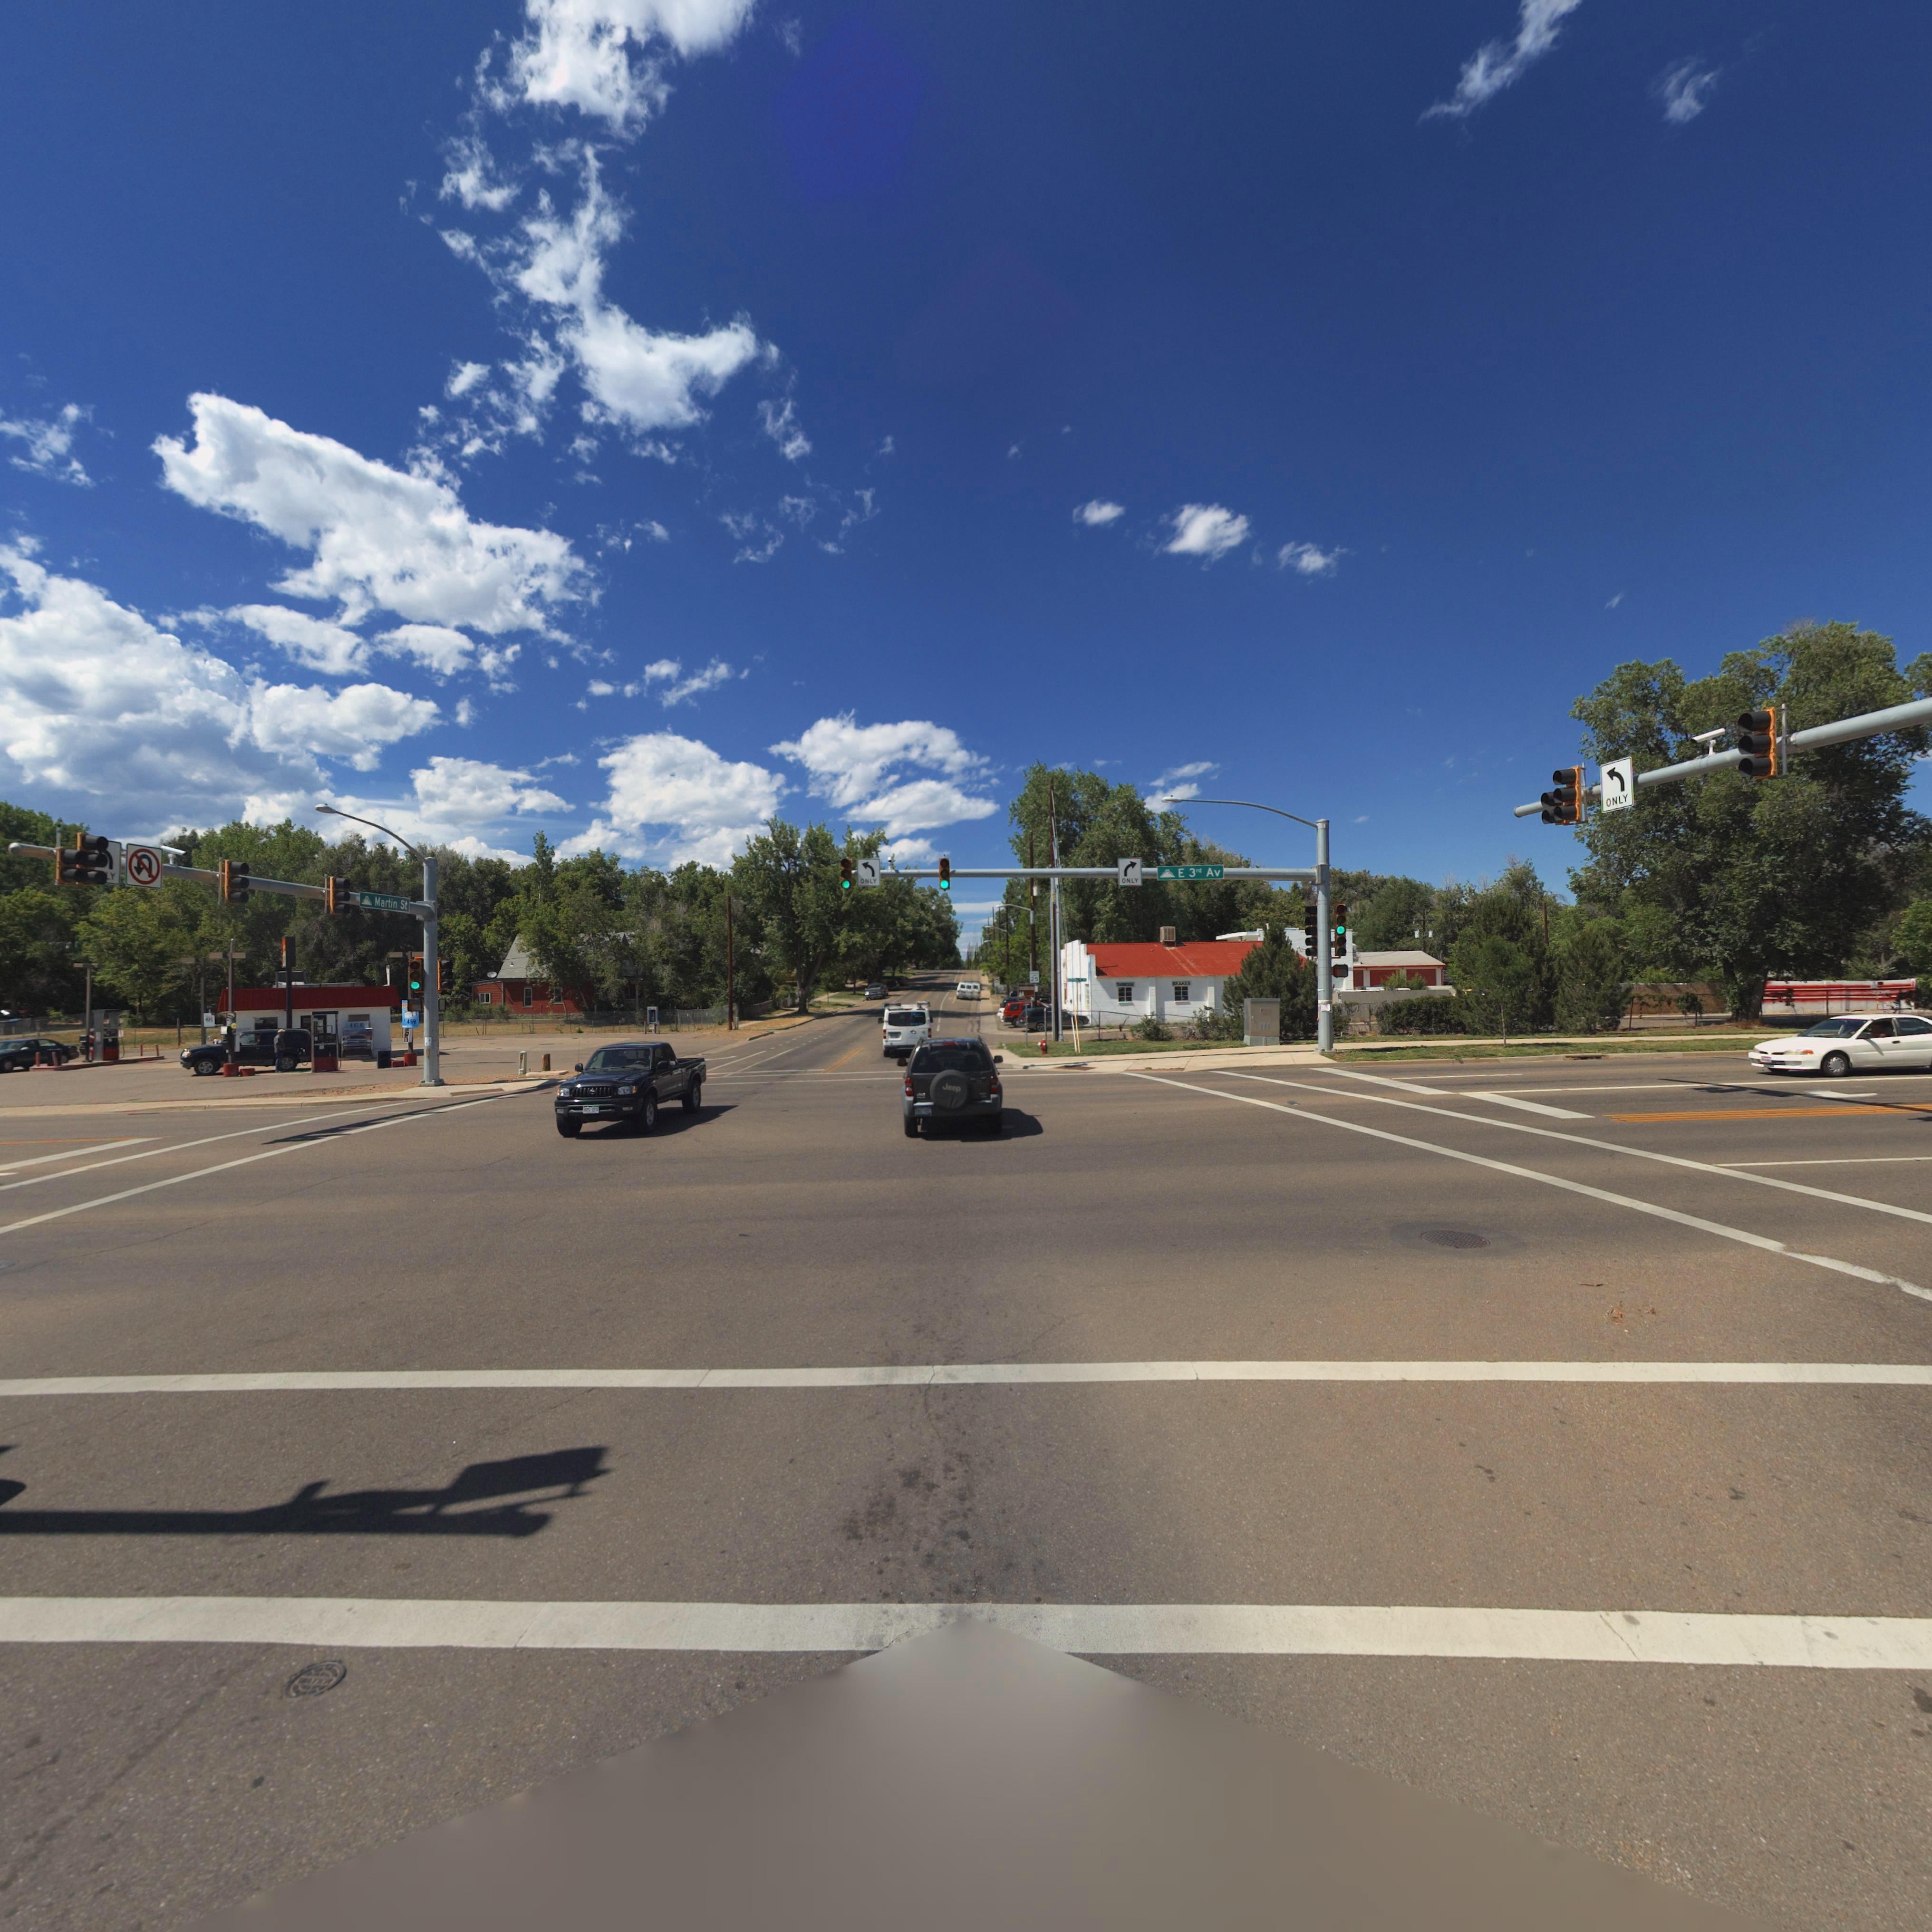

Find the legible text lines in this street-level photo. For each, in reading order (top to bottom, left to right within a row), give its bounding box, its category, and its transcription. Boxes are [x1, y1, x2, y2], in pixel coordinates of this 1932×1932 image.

[1177, 867, 1221, 878] StreetName: E 3rd Av
[374, 897, 407, 909] StreetName: Martin St